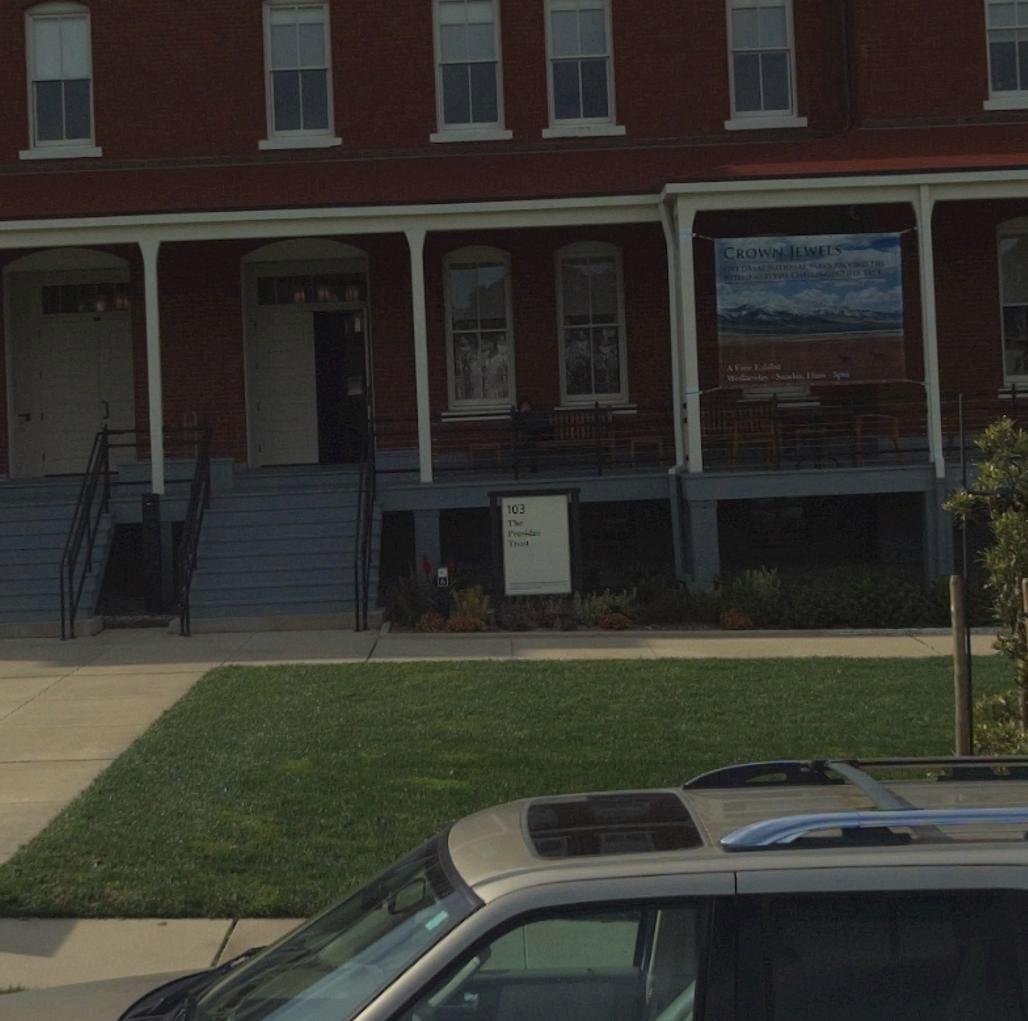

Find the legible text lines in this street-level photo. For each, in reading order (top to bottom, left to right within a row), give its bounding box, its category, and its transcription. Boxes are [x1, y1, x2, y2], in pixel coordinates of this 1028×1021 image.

[722, 243, 843, 262] None: CROWN JEWELS
[505, 502, 527, 516] StreetNumber: 103
[506, 518, 513, 527] None: T
[506, 529, 512, 538] None: P
[506, 538, 514, 547] None: T